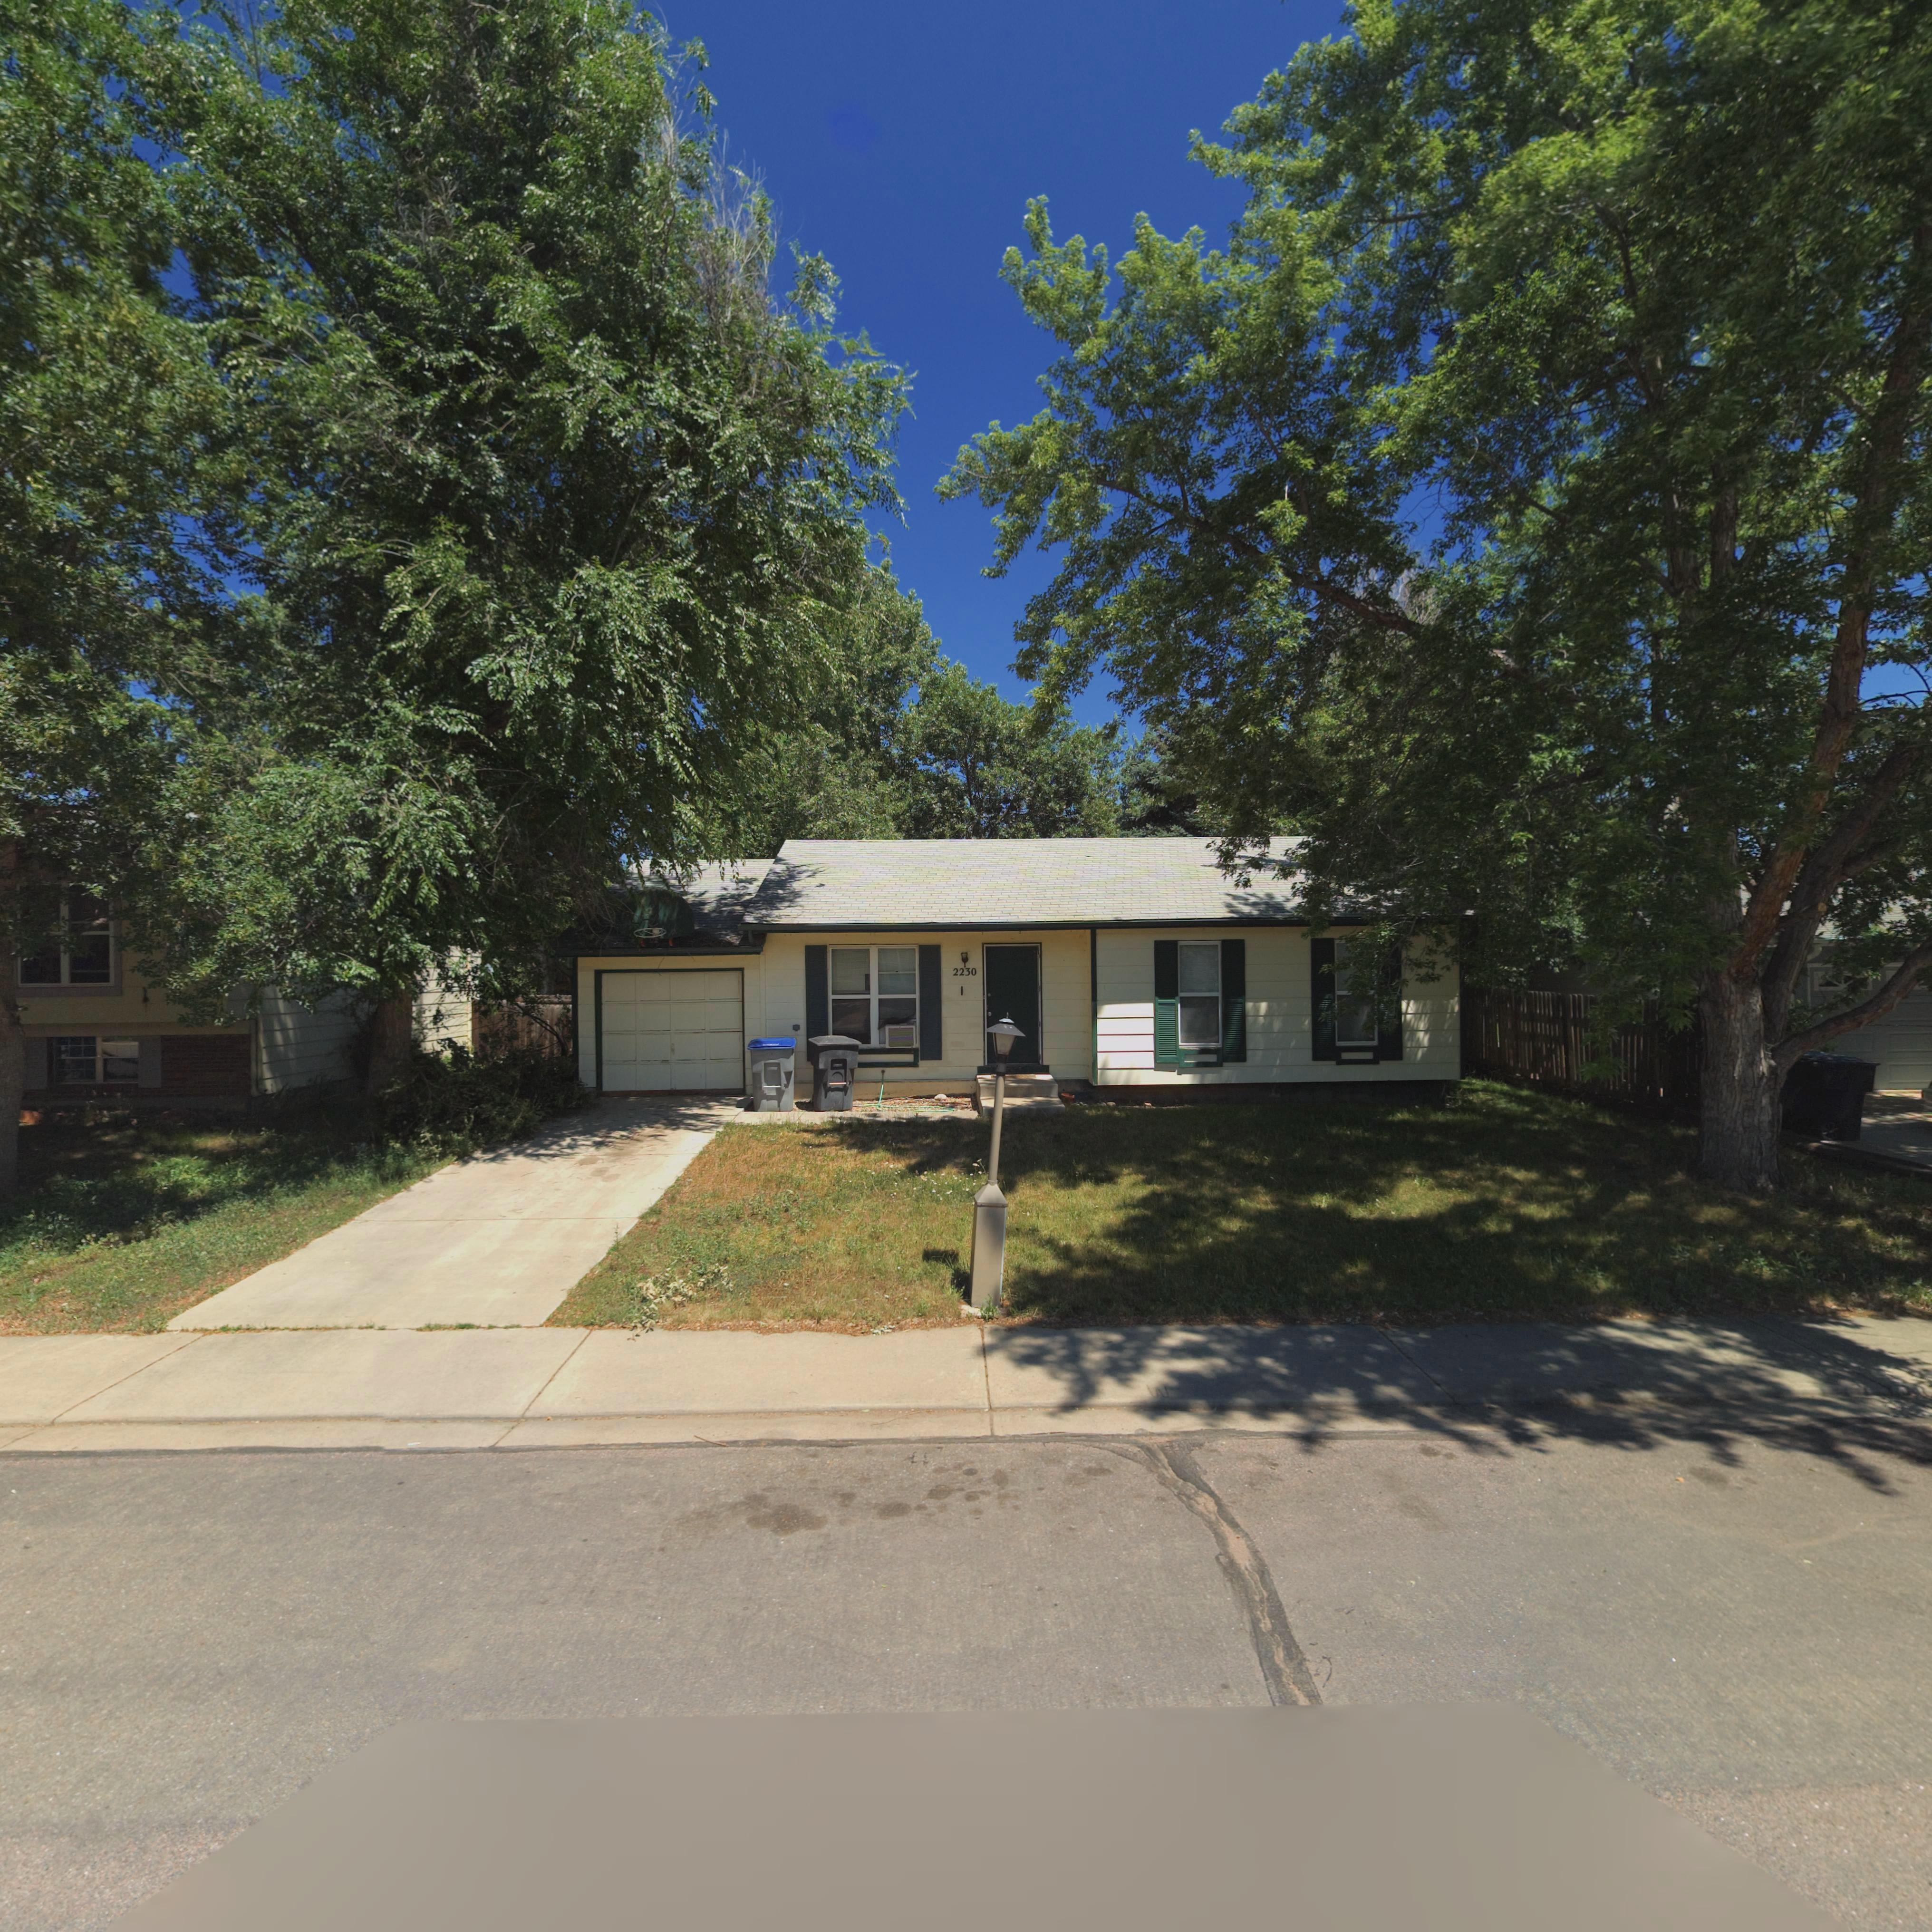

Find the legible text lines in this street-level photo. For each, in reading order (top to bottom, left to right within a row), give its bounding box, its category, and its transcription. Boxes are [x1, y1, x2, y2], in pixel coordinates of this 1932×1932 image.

[952, 967, 977, 976] BusinessName: 2230